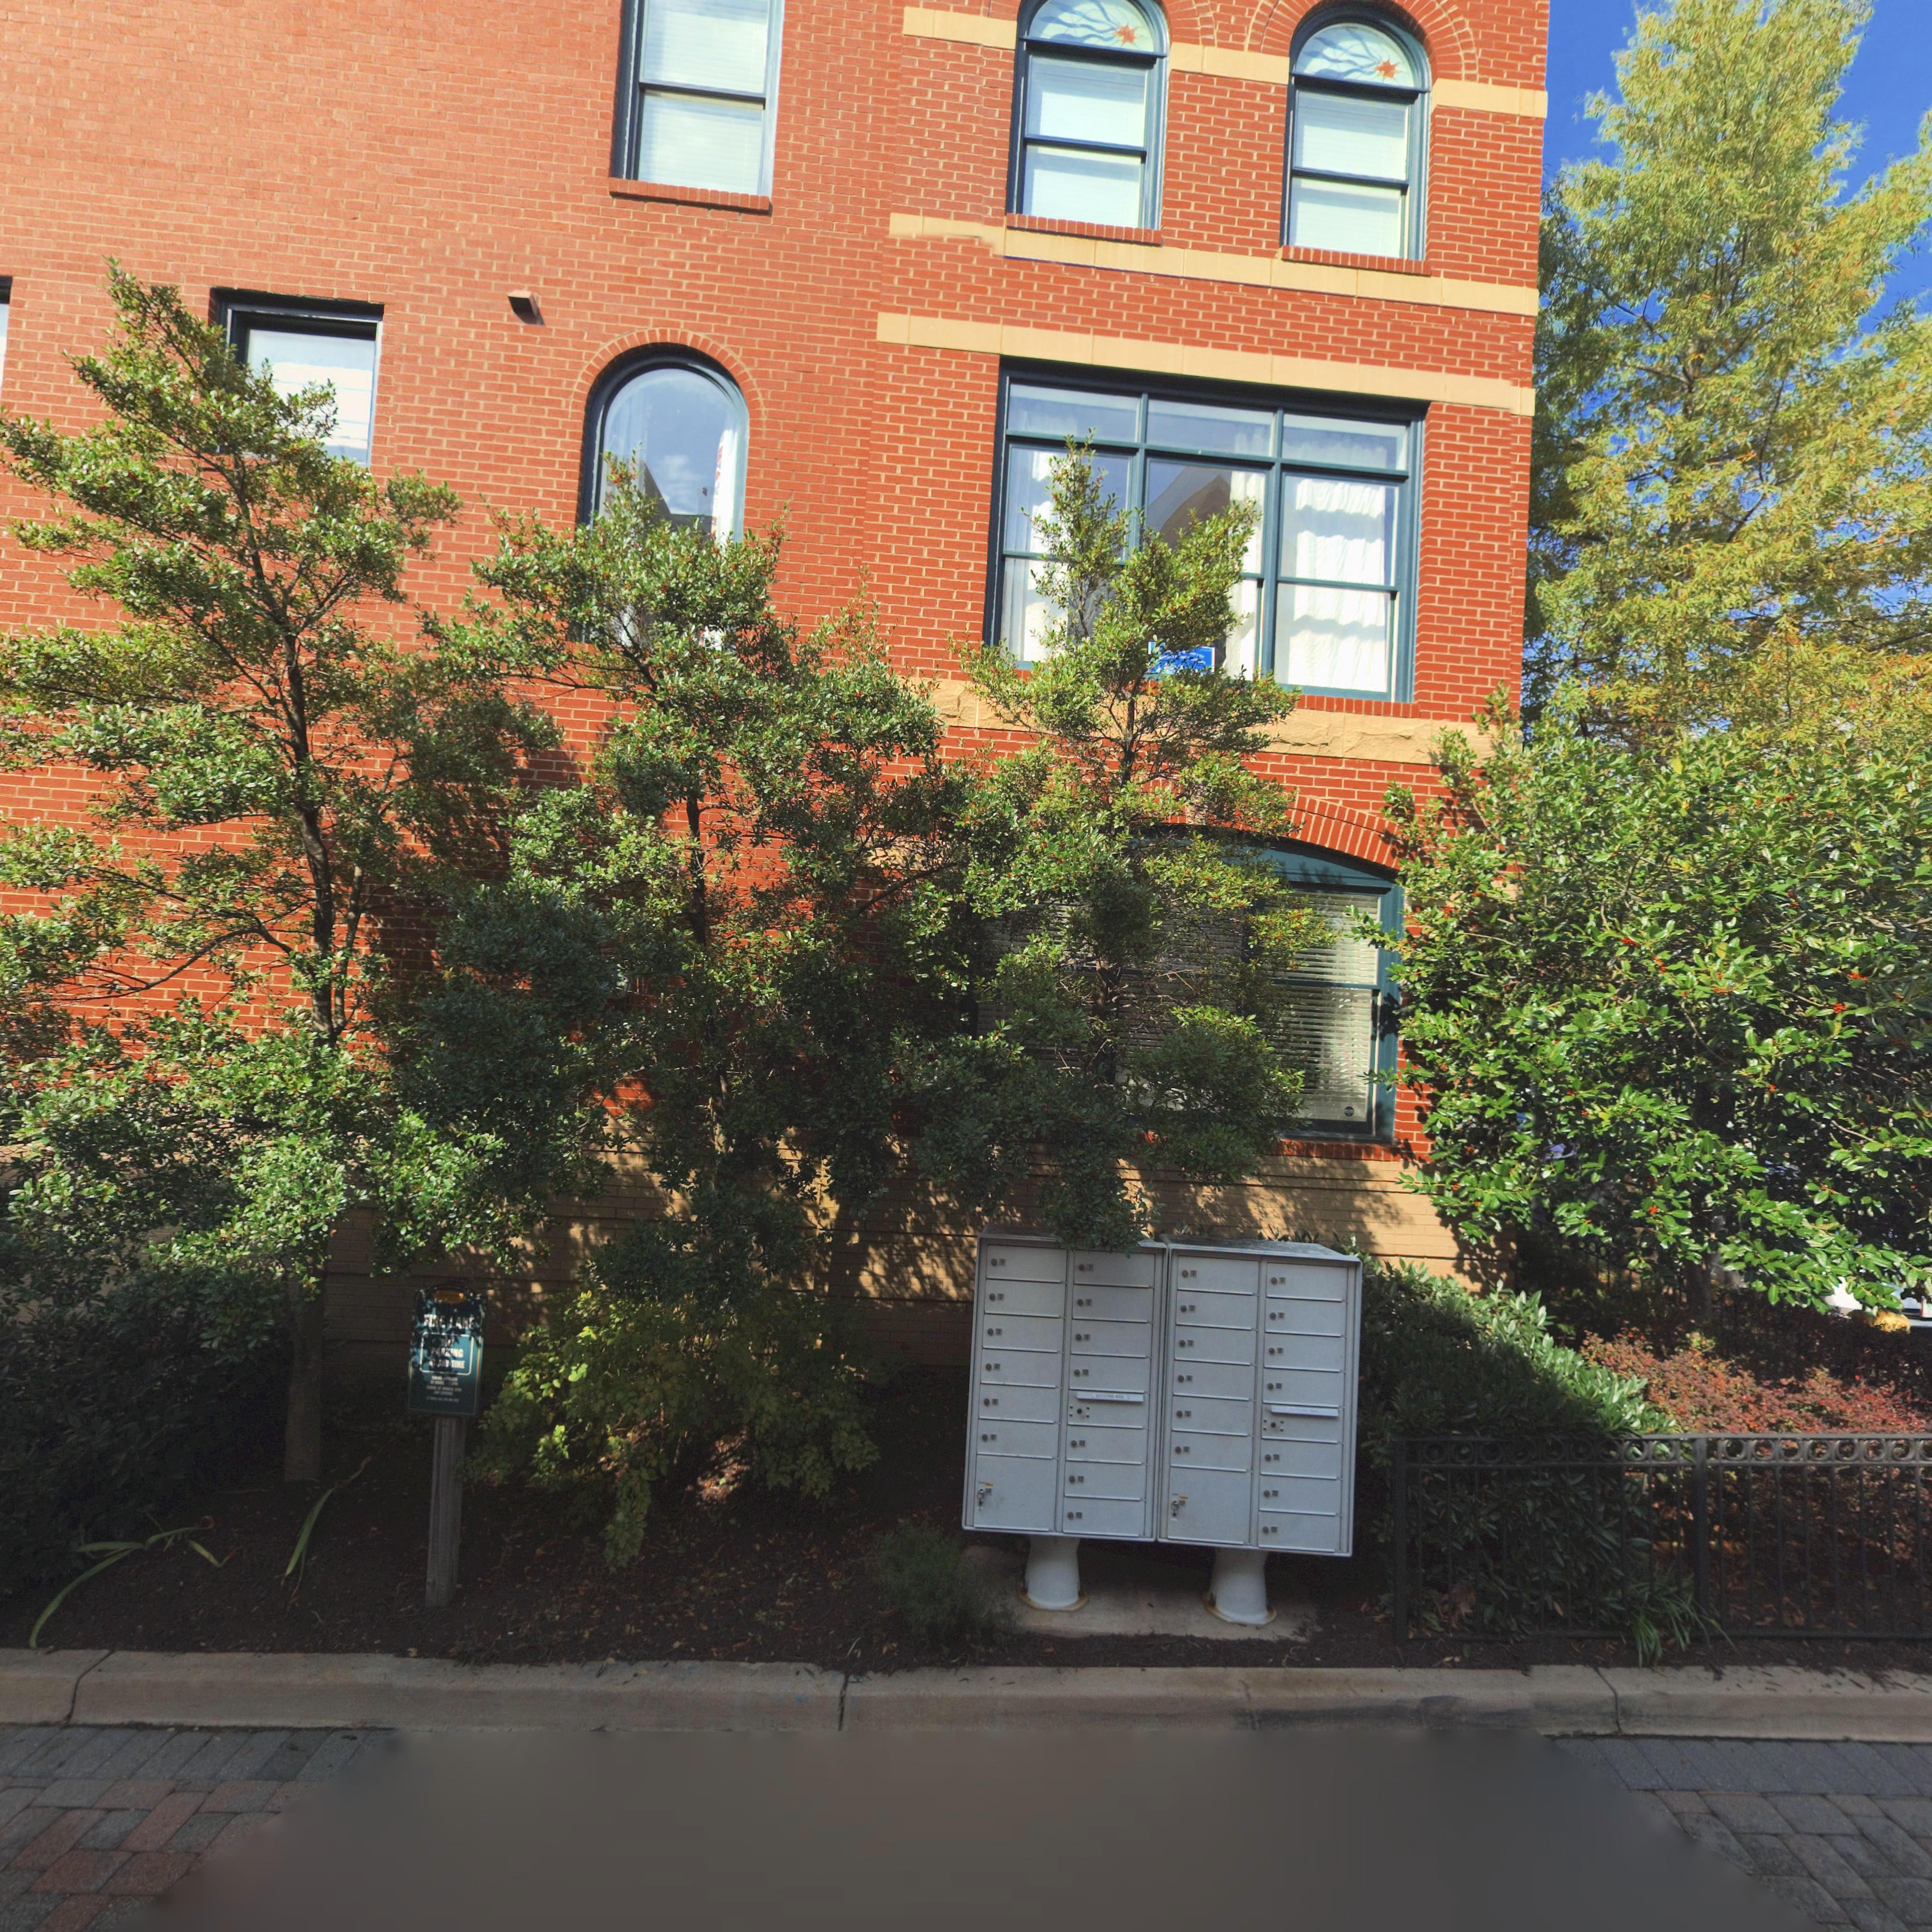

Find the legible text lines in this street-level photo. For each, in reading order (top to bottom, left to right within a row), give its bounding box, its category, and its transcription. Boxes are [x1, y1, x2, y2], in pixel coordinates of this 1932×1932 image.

[422, 1313, 475, 1330] None: FIRE LANE
[440, 1338, 455, 1348] None: NO
[430, 1346, 464, 1358] None: PARKING
[427, 1358, 466, 1369] None: *T ANY TIME